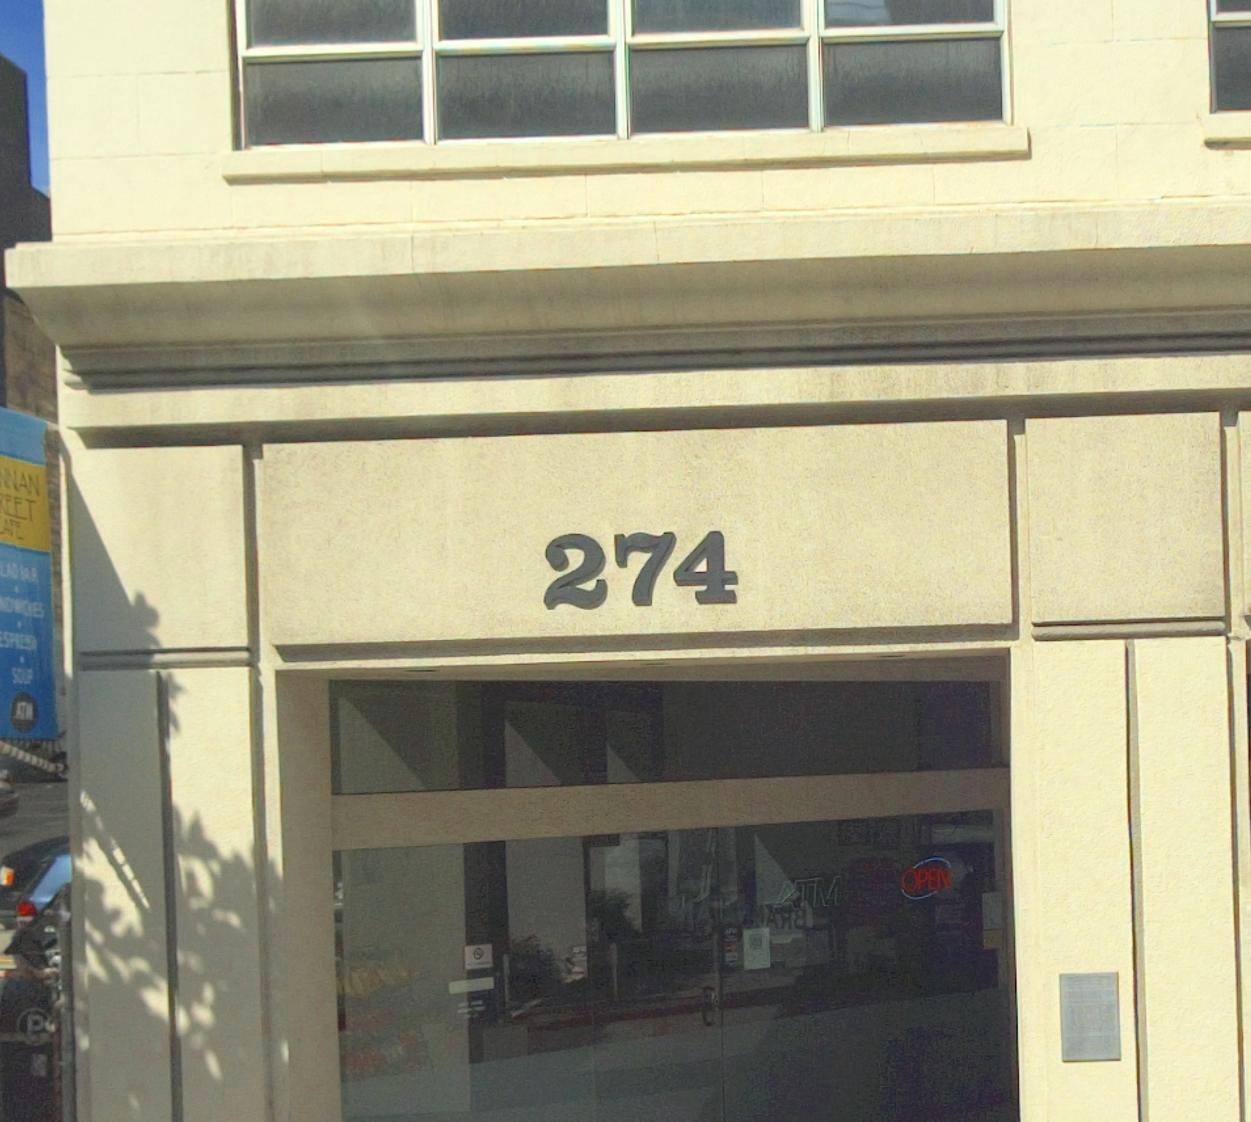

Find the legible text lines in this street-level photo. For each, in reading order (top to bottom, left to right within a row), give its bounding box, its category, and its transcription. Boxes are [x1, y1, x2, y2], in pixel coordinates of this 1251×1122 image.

[1, 462, 43, 503] None: NAN
[10, 490, 42, 528] None: ET
[3, 560, 41, 587] None: AD BAR
[542, 527, 742, 611] StreetNumber: 274
[1, 595, 47, 623] None: ON*CLES
[0, 628, 17, 652] None: SP
[774, 873, 846, 912] None: ATM
[898, 865, 954, 896] None: OPEN
[23, 1011, 48, 1042] None: P